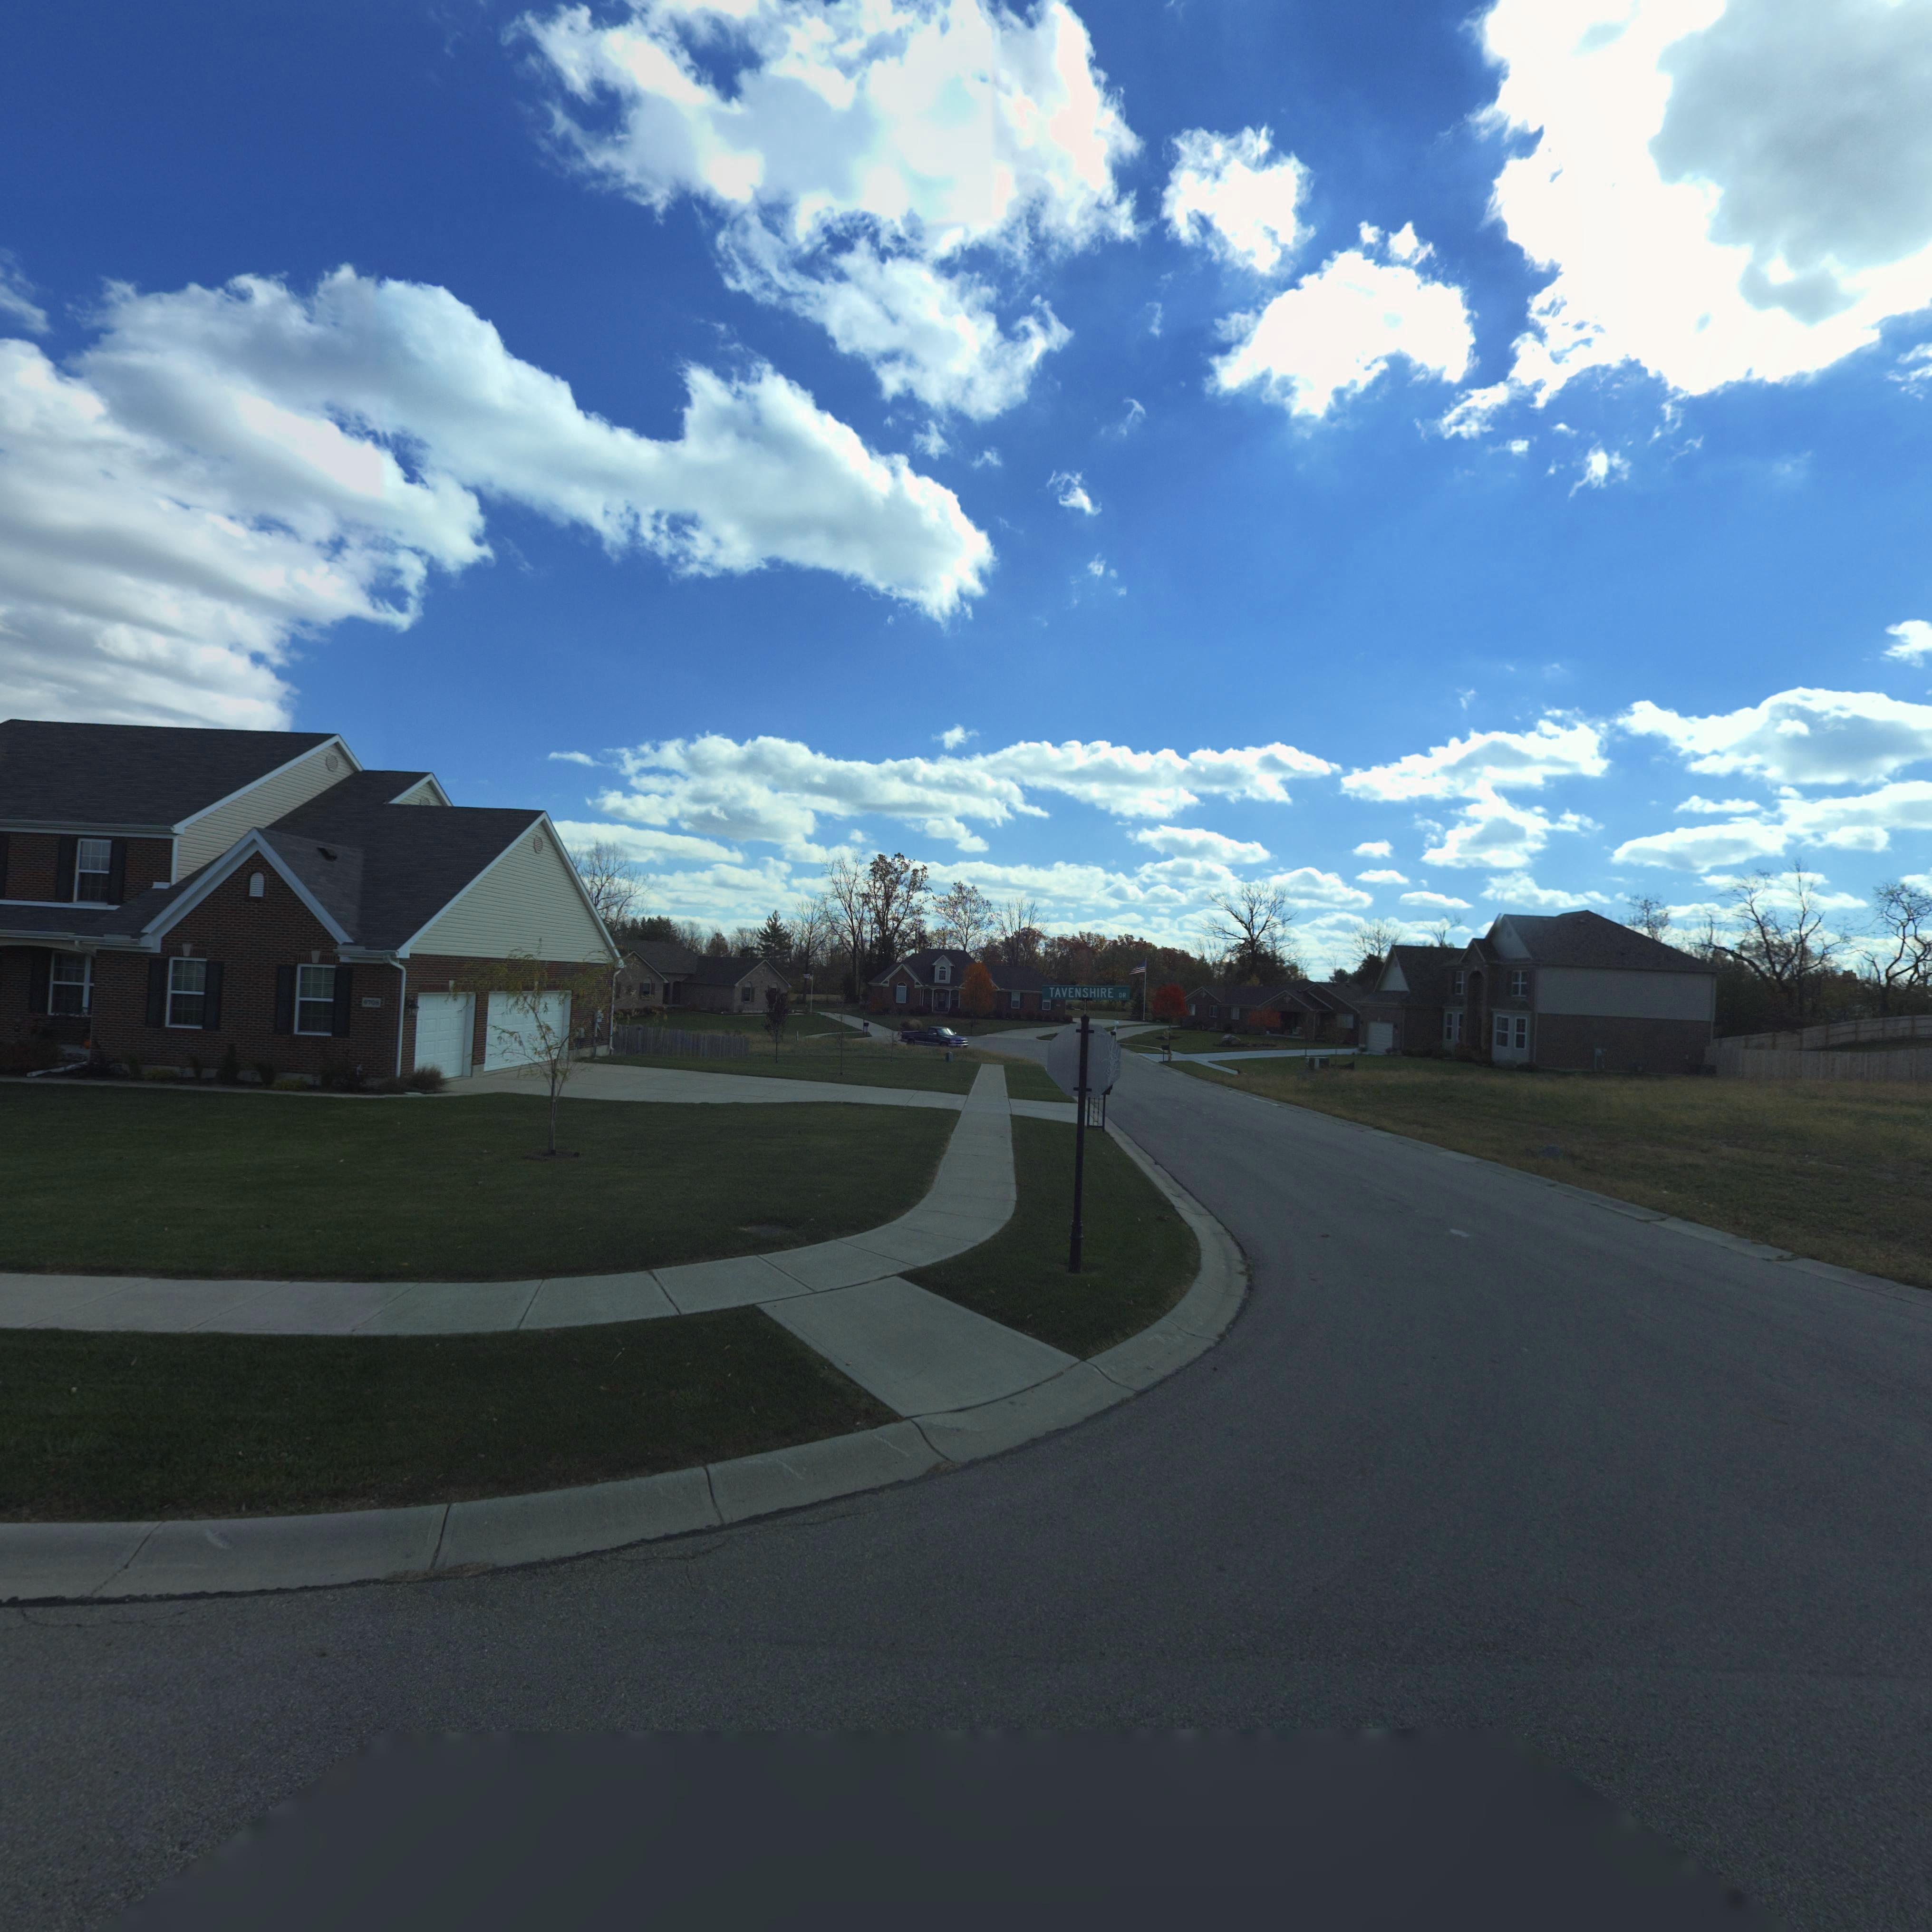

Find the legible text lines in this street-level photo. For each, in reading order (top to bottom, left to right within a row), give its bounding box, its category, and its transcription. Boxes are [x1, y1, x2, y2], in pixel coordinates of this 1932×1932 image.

[1048, 986, 1127, 999] StreetNumber: TAVENSHIRE DR
[362, 999, 379, 1006] StreetNumber: *708